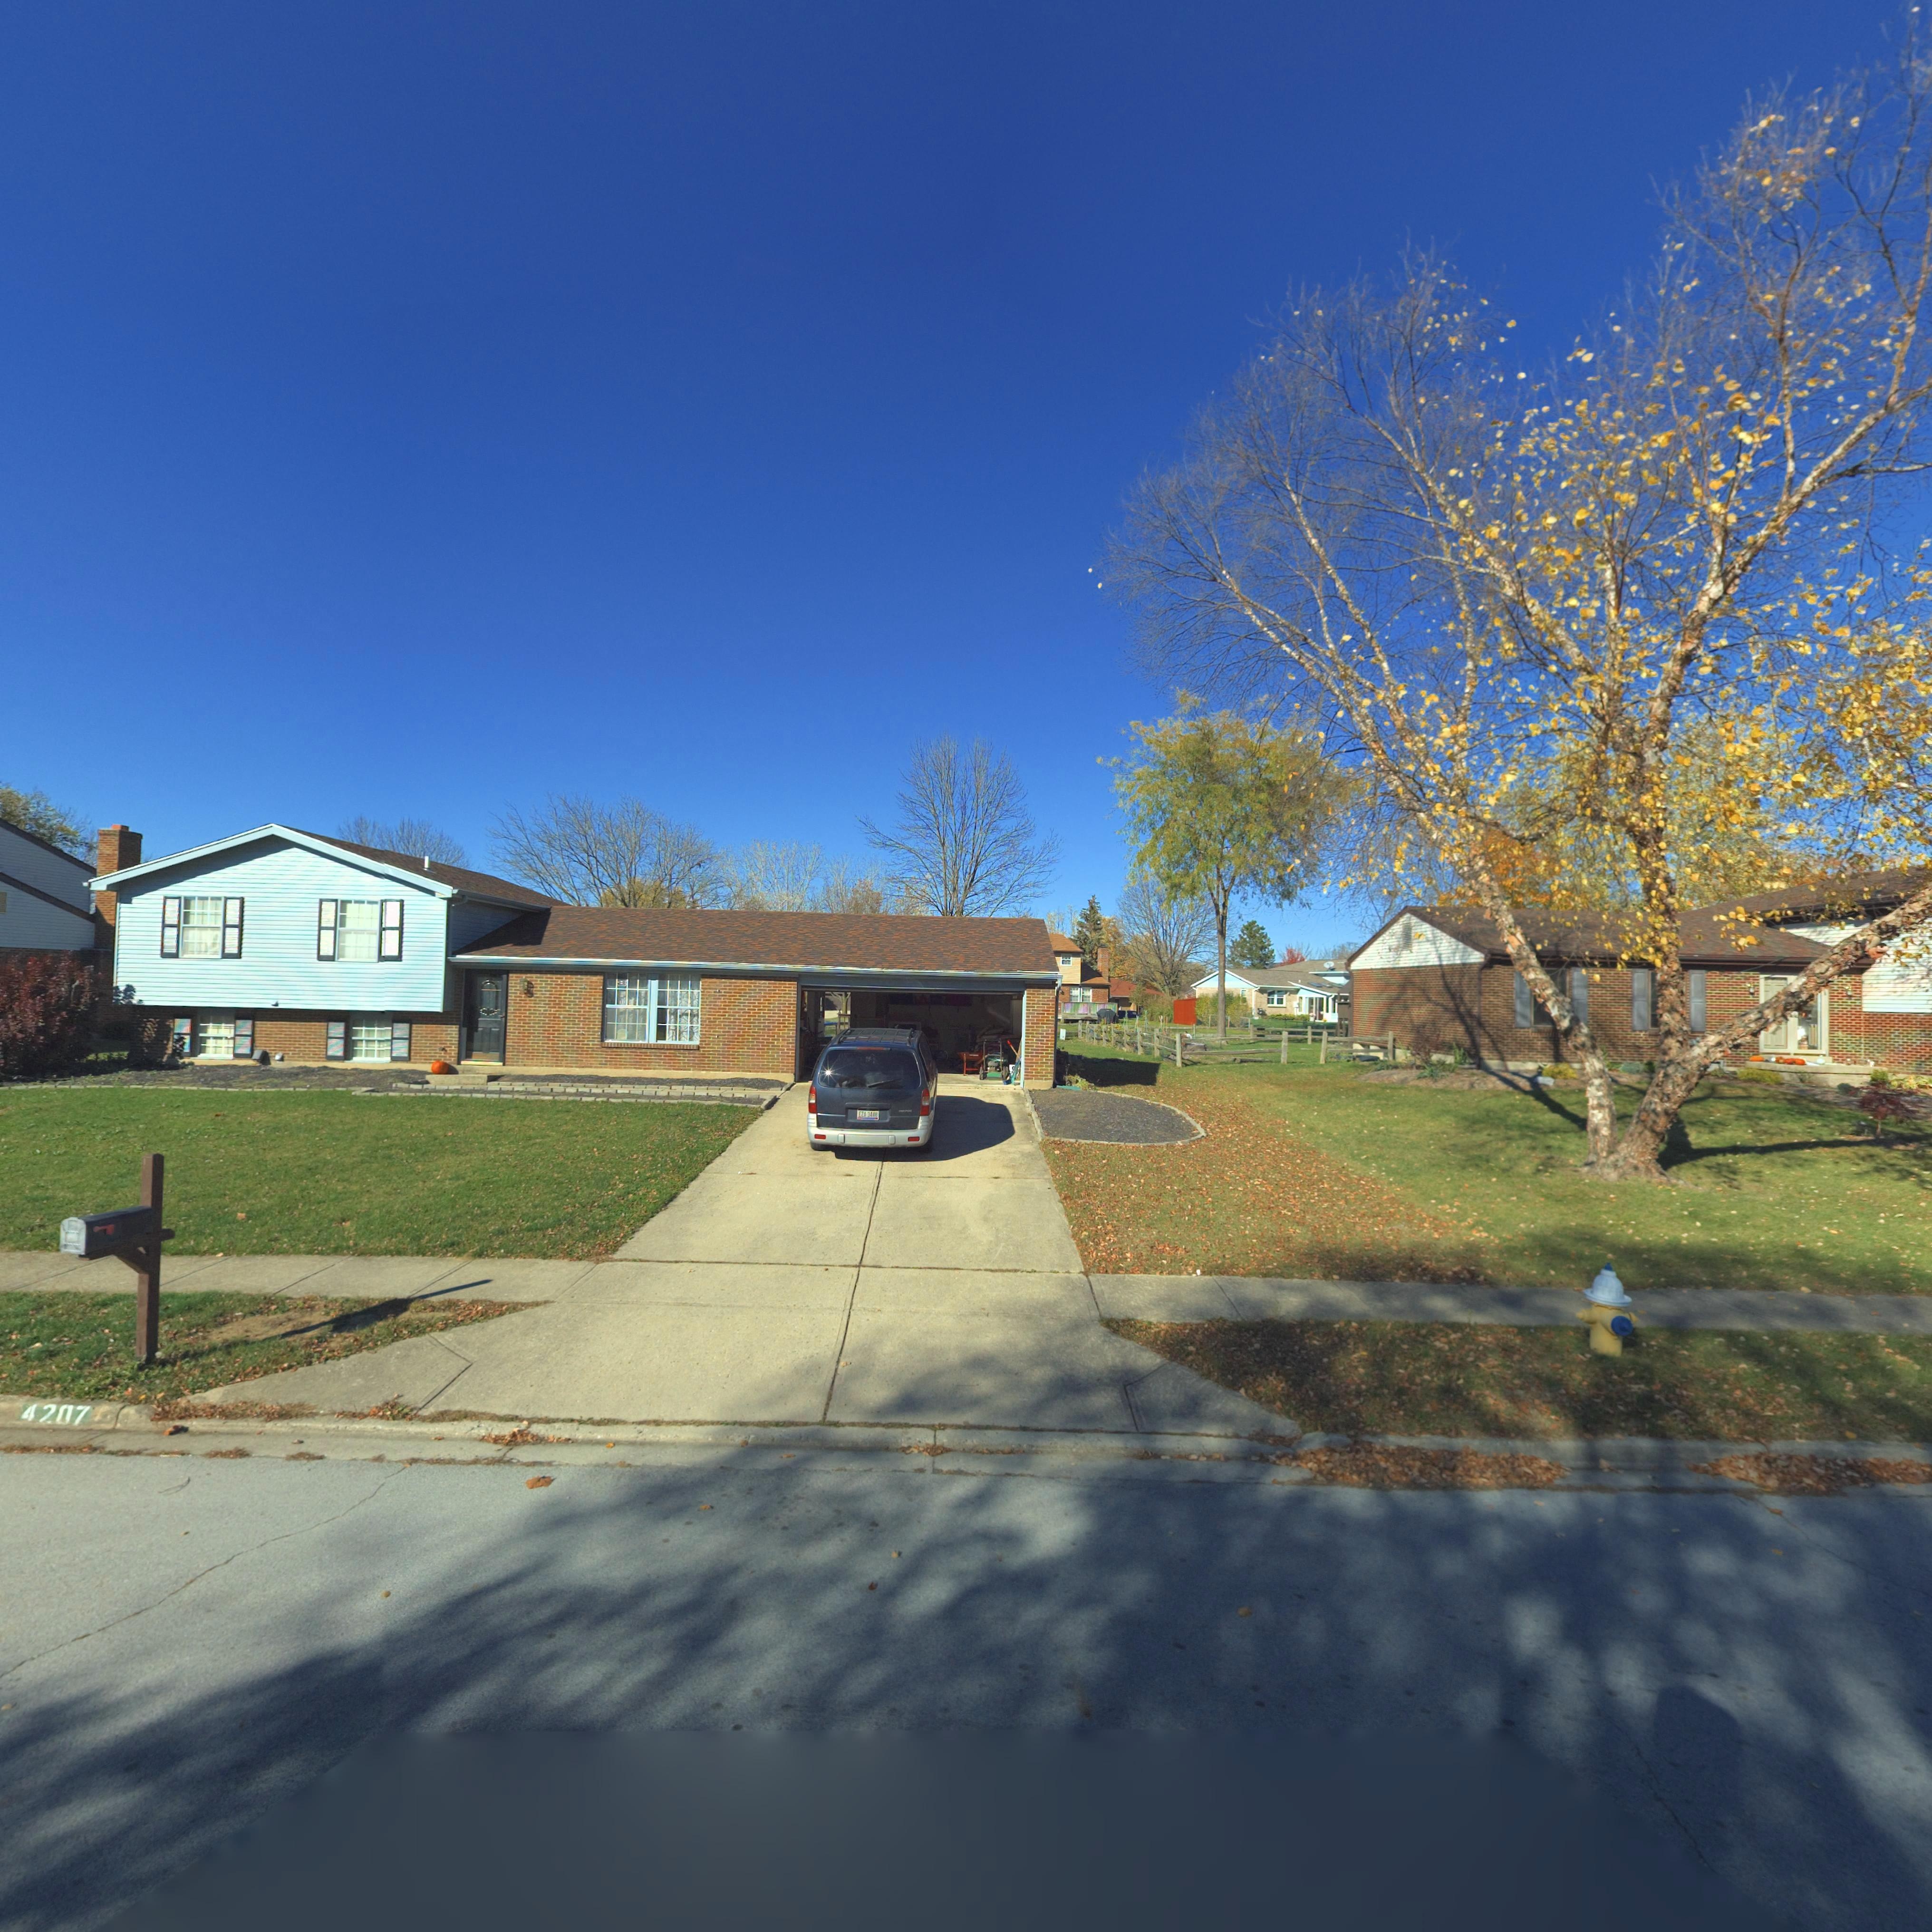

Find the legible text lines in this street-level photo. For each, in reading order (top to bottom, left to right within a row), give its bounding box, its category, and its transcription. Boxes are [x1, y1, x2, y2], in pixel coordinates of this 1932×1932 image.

[19, 1402, 93, 1427] StreetNumber: 4207